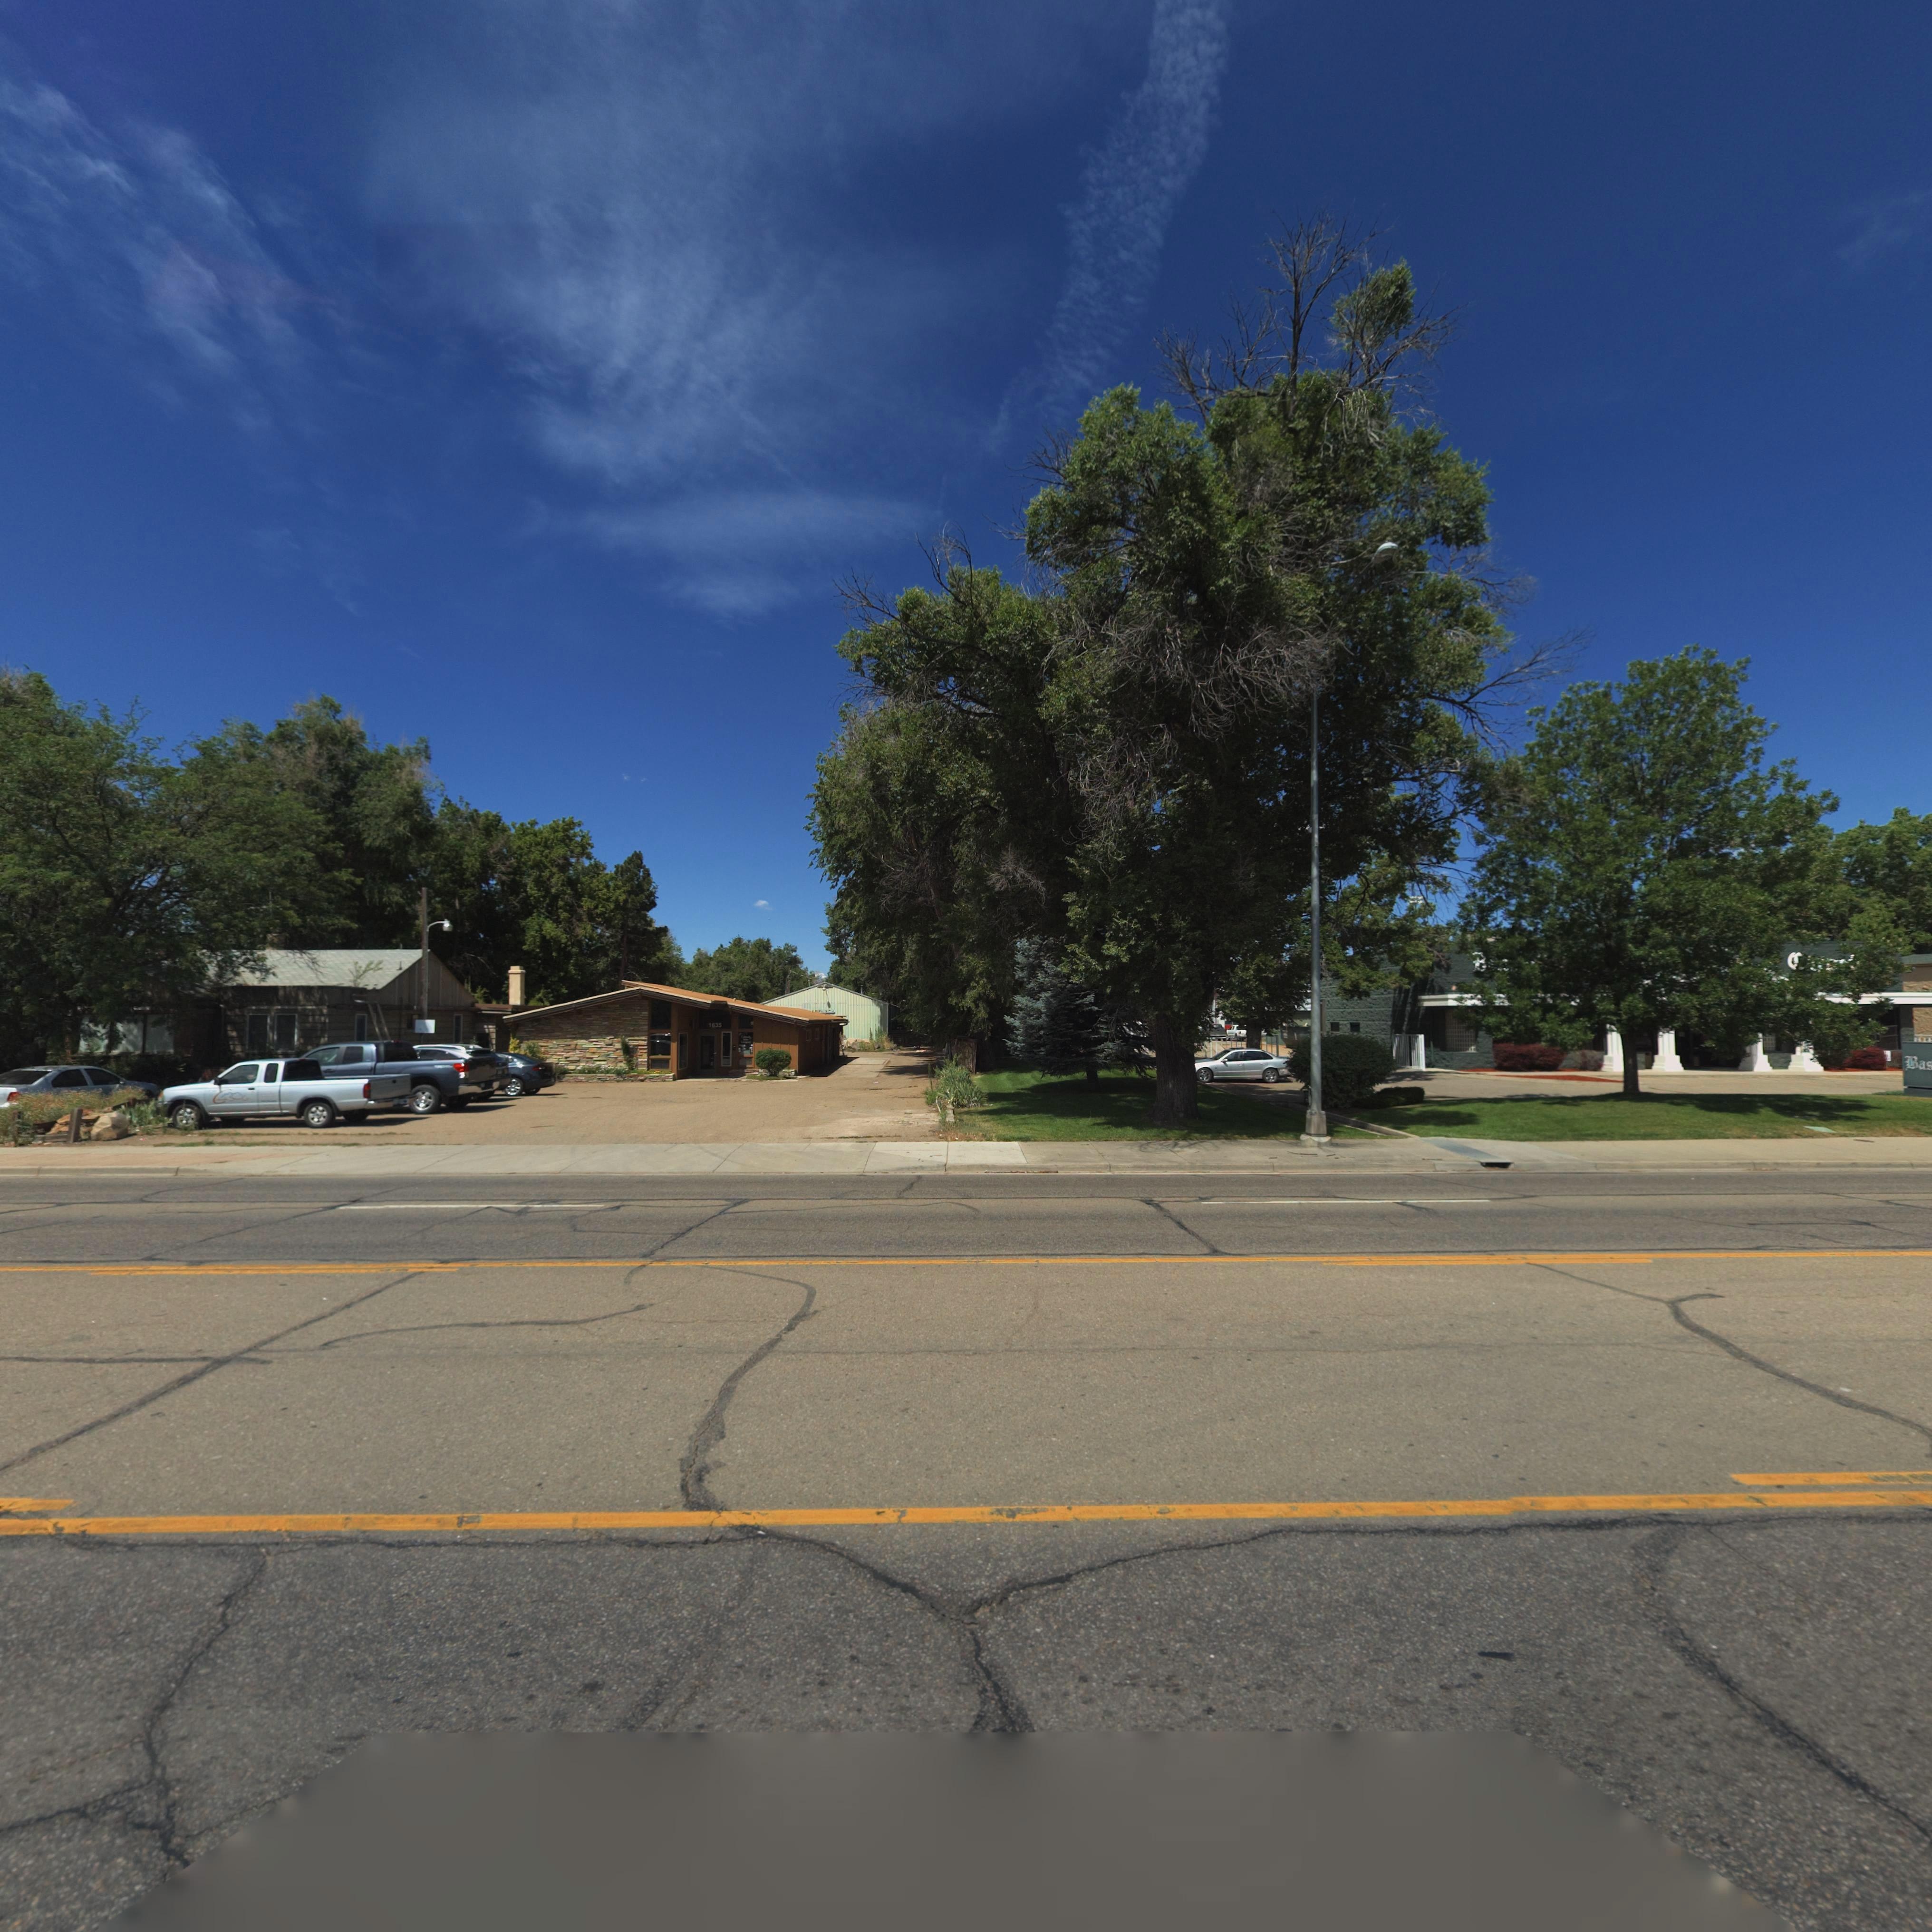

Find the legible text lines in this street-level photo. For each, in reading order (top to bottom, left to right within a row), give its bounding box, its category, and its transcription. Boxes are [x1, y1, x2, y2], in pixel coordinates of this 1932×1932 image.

[1472, 950, 1488, 973] BusinessName: B
[708, 1022, 723, 1028] StreetNumber: 1635
[1903, 1054, 1926, 1071] BusinessName: Ba